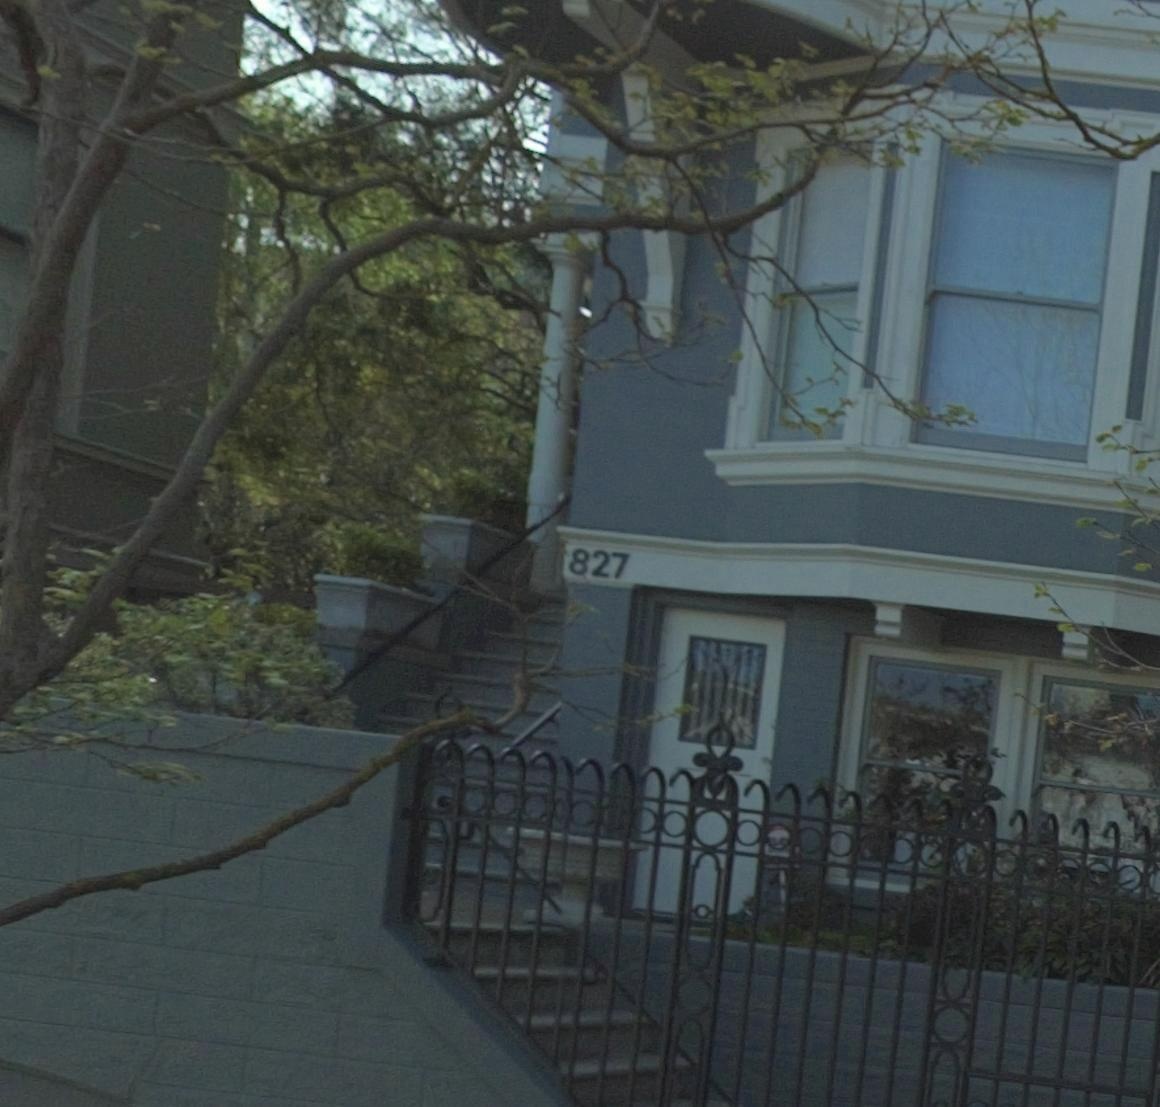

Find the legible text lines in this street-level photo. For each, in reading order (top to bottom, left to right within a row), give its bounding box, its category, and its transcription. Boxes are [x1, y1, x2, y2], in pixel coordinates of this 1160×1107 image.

[563, 543, 635, 584] StreetNumber: 827